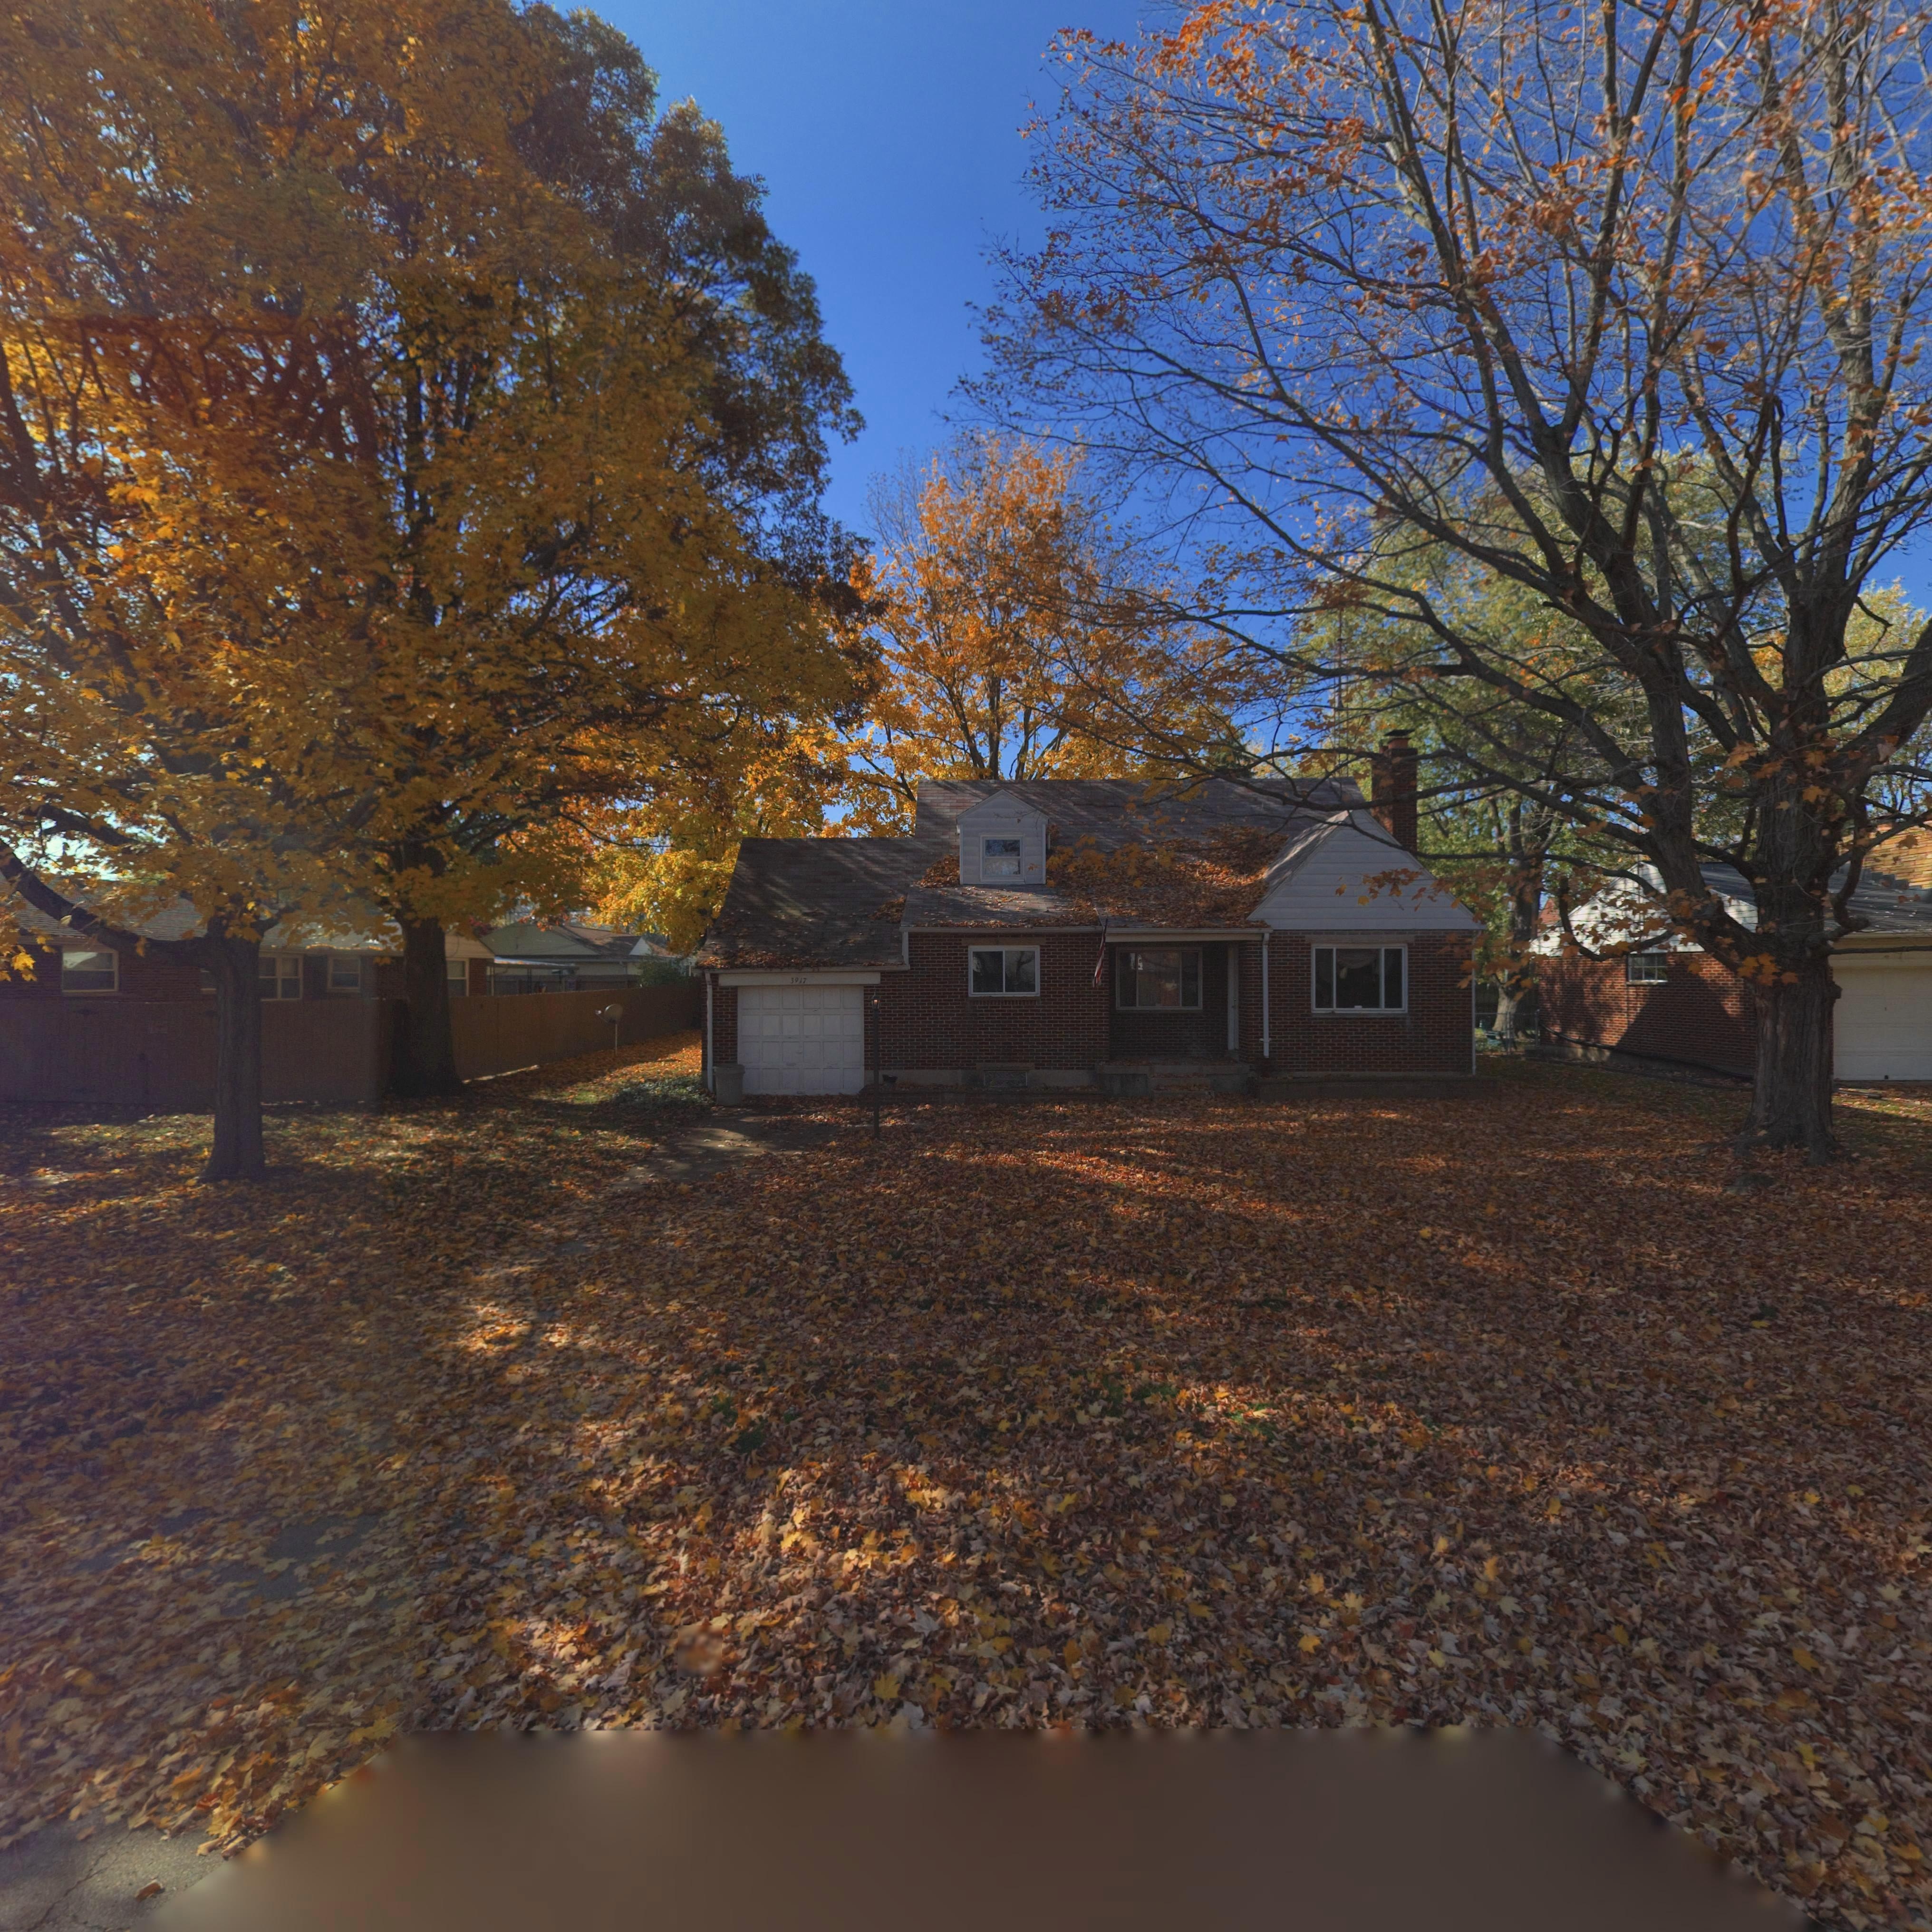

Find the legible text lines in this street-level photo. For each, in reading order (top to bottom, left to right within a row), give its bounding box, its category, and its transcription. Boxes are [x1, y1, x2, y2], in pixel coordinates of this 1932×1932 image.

[790, 976, 808, 985] StreetNumber: 3917